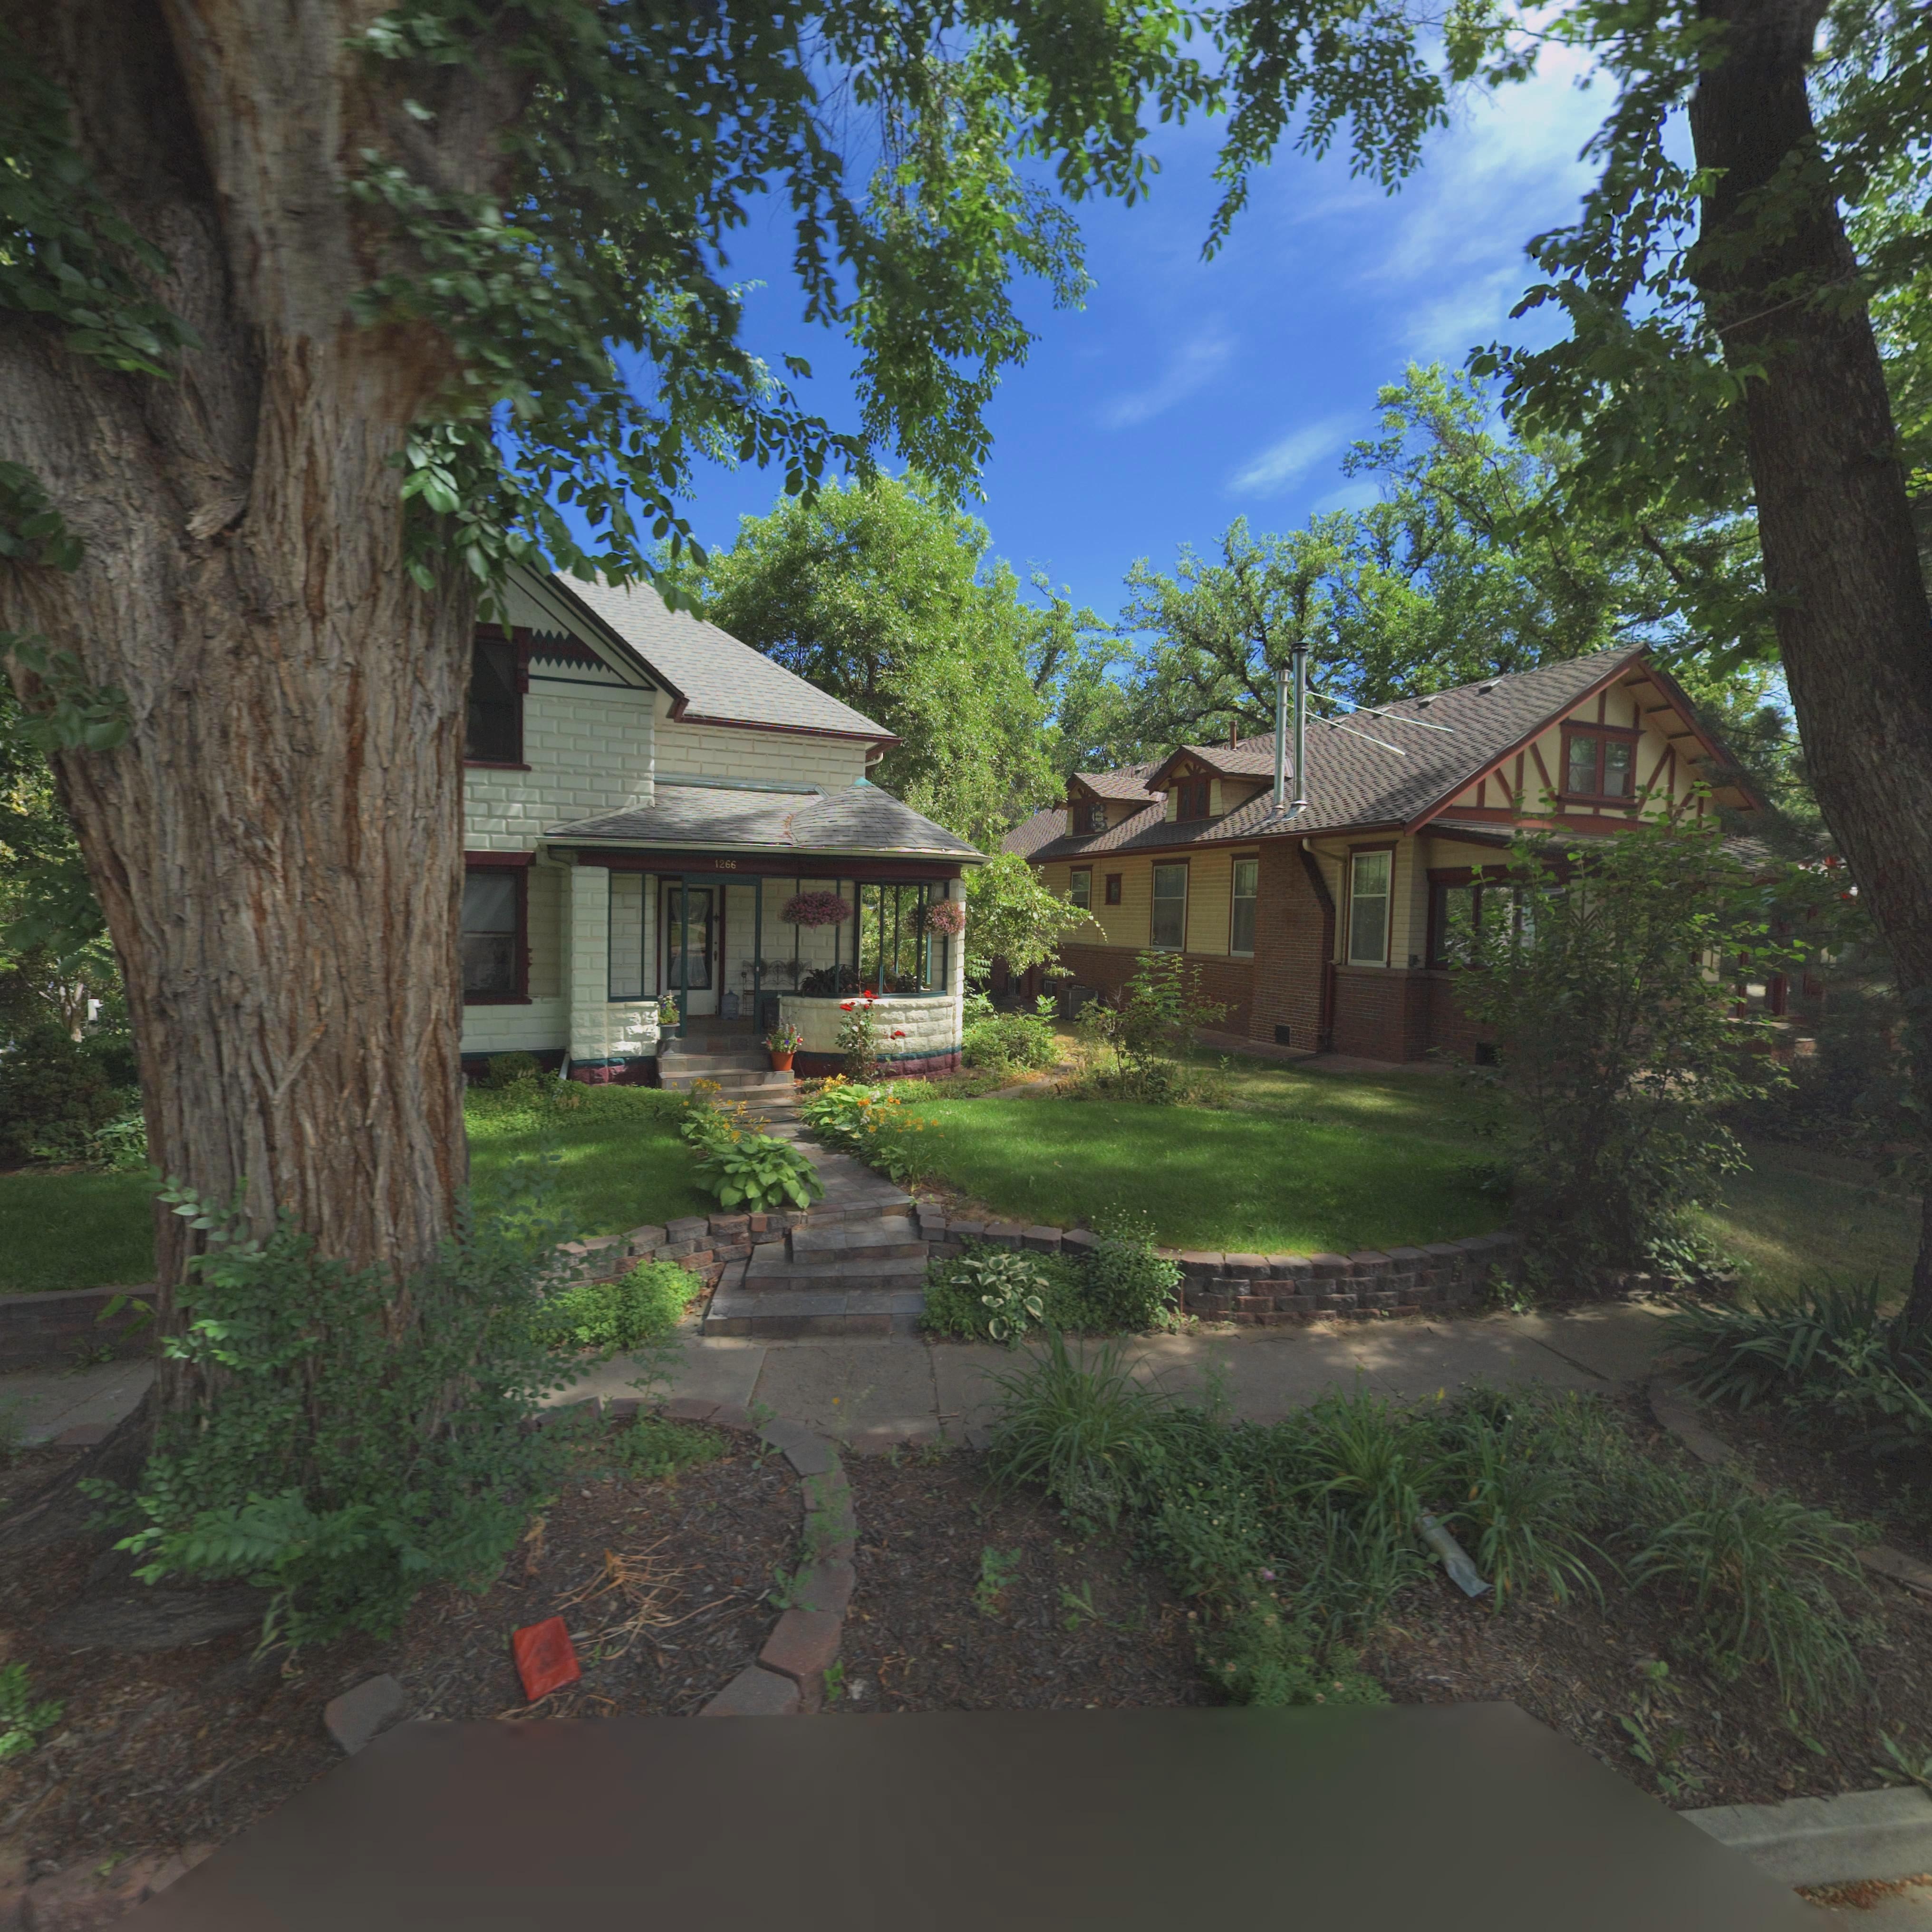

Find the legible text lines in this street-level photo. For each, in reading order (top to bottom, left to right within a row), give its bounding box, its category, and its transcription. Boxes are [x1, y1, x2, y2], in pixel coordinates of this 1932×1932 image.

[715, 860, 736, 869] StreetNumber: 1266